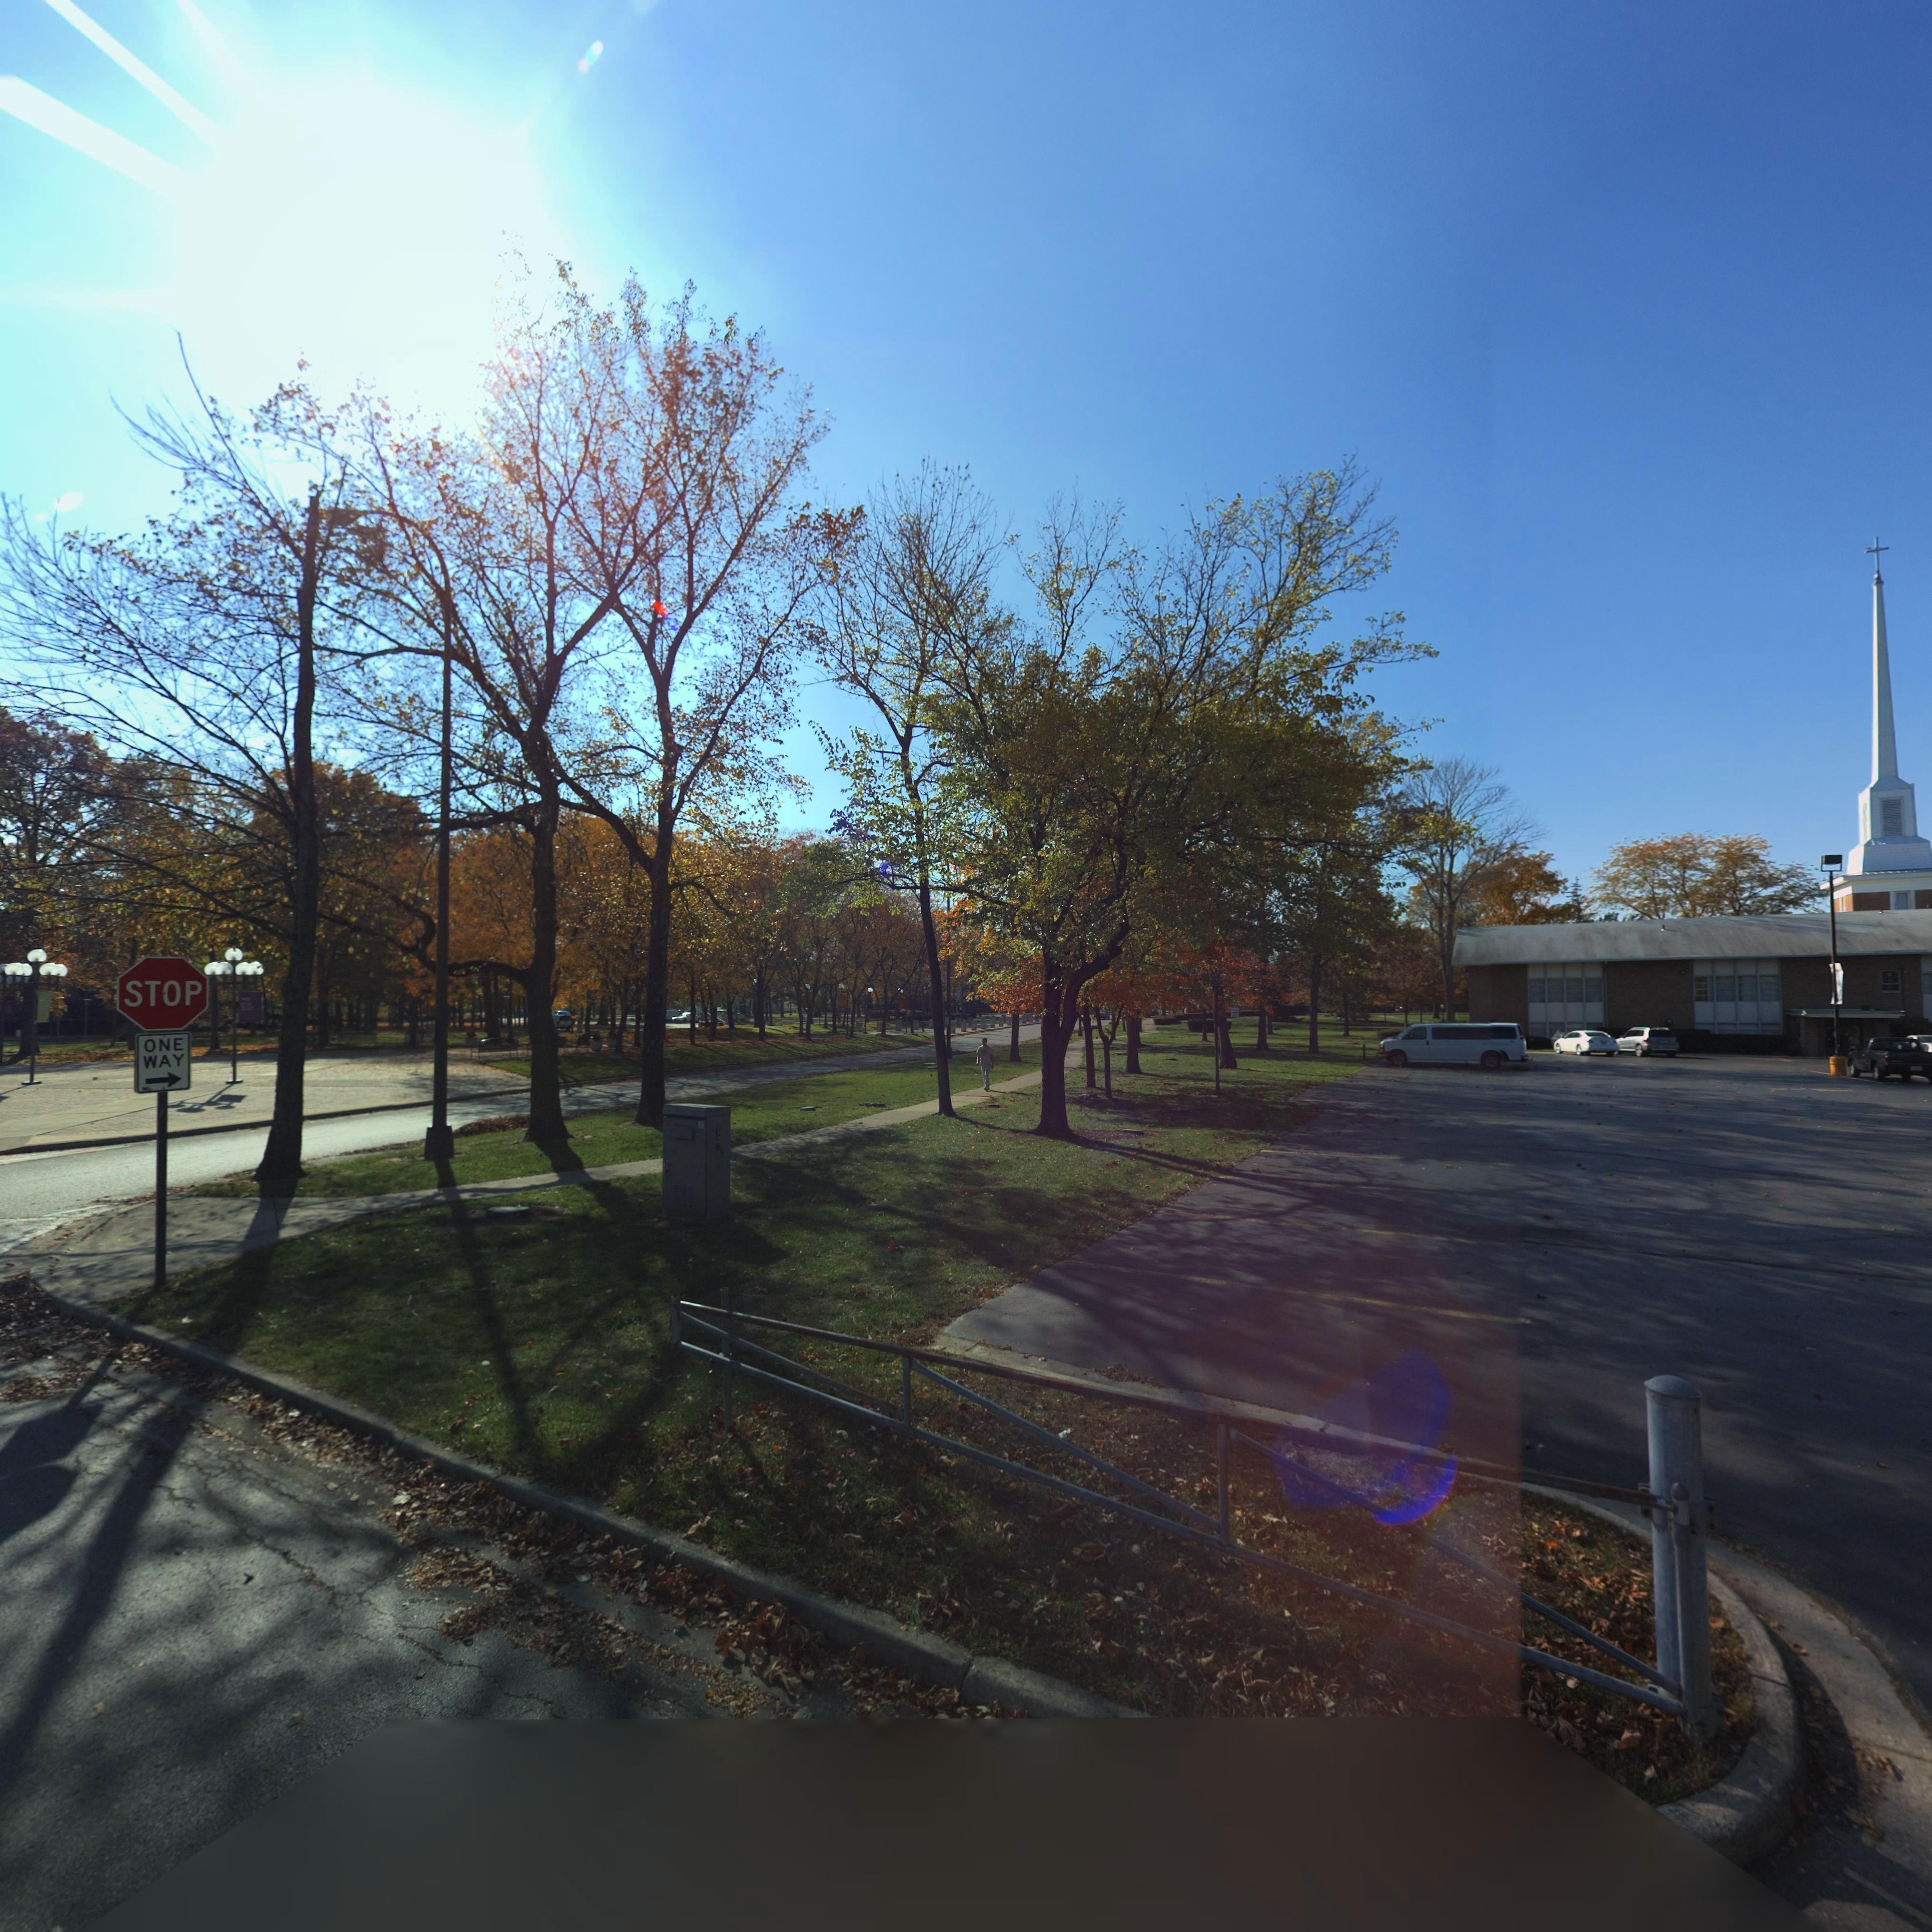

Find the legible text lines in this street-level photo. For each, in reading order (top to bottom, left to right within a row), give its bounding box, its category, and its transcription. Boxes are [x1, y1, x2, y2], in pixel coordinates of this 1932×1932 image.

[124, 979, 203, 1008] None: STOP
[144, 1037, 184, 1053] None: ONE
[142, 1053, 185, 1070] None: WAY